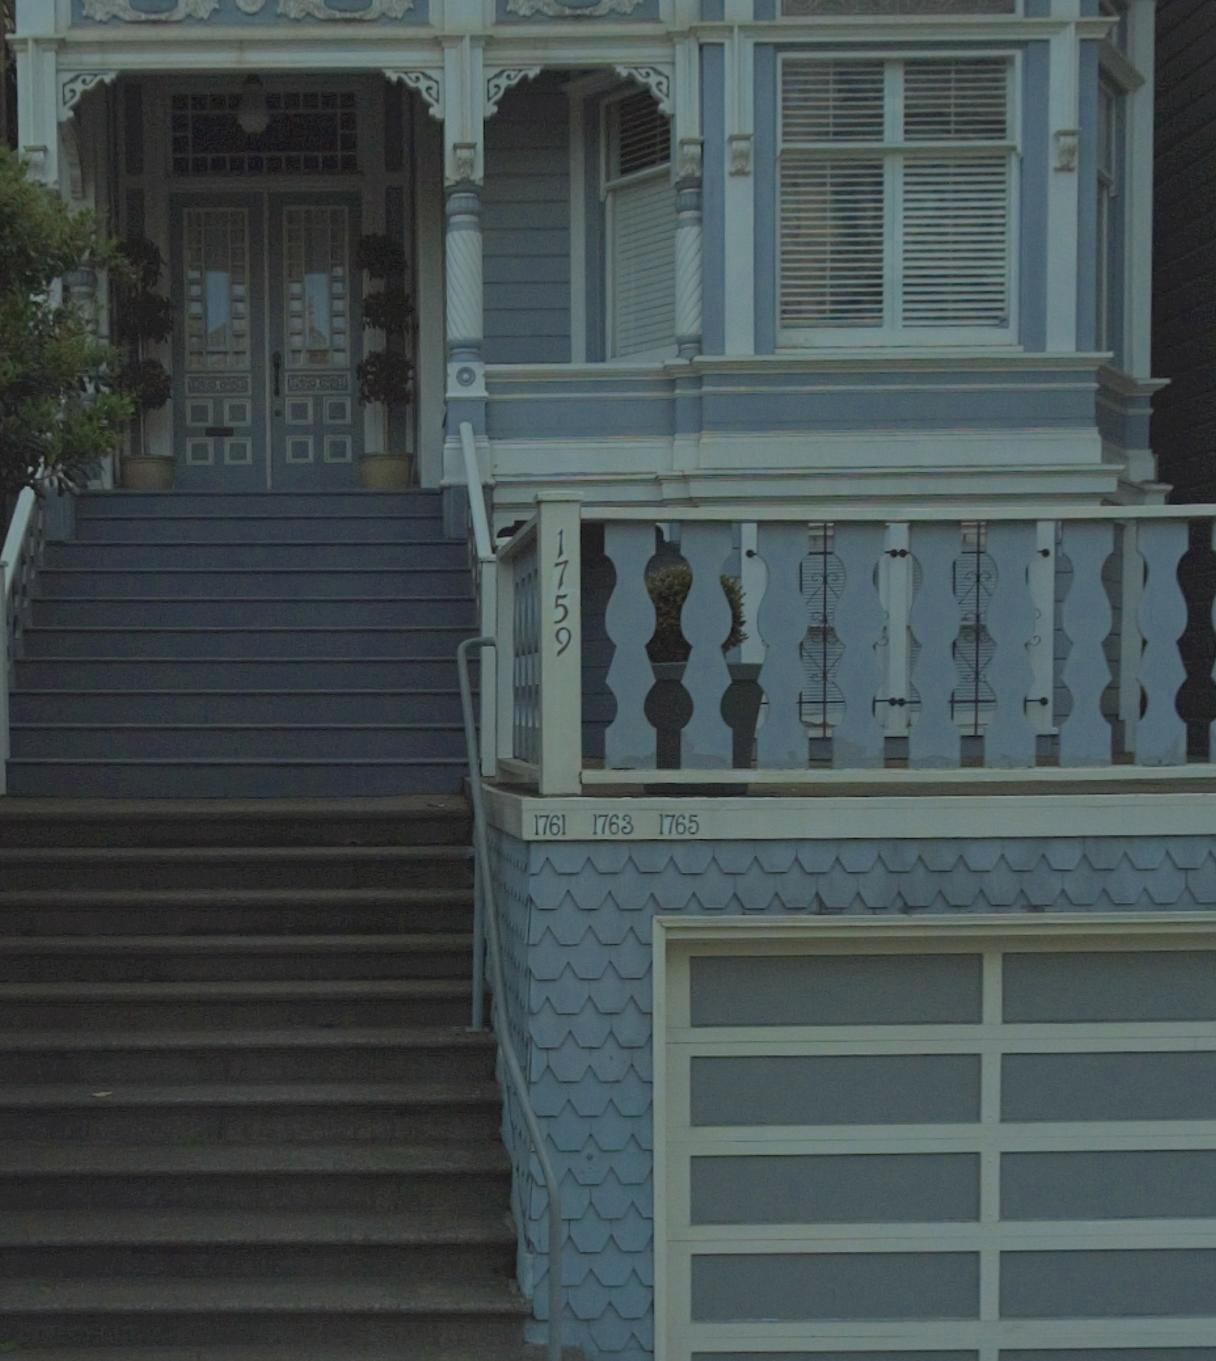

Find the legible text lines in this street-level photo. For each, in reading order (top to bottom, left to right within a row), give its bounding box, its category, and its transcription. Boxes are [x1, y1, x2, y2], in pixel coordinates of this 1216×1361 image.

[549, 525, 574, 660] StreetNumber: 1759
[531, 812, 568, 838] StreetNumber: 1761
[590, 811, 636, 837] StreetNumber: 1763
[656, 811, 702, 838] StreetNumber: 1765